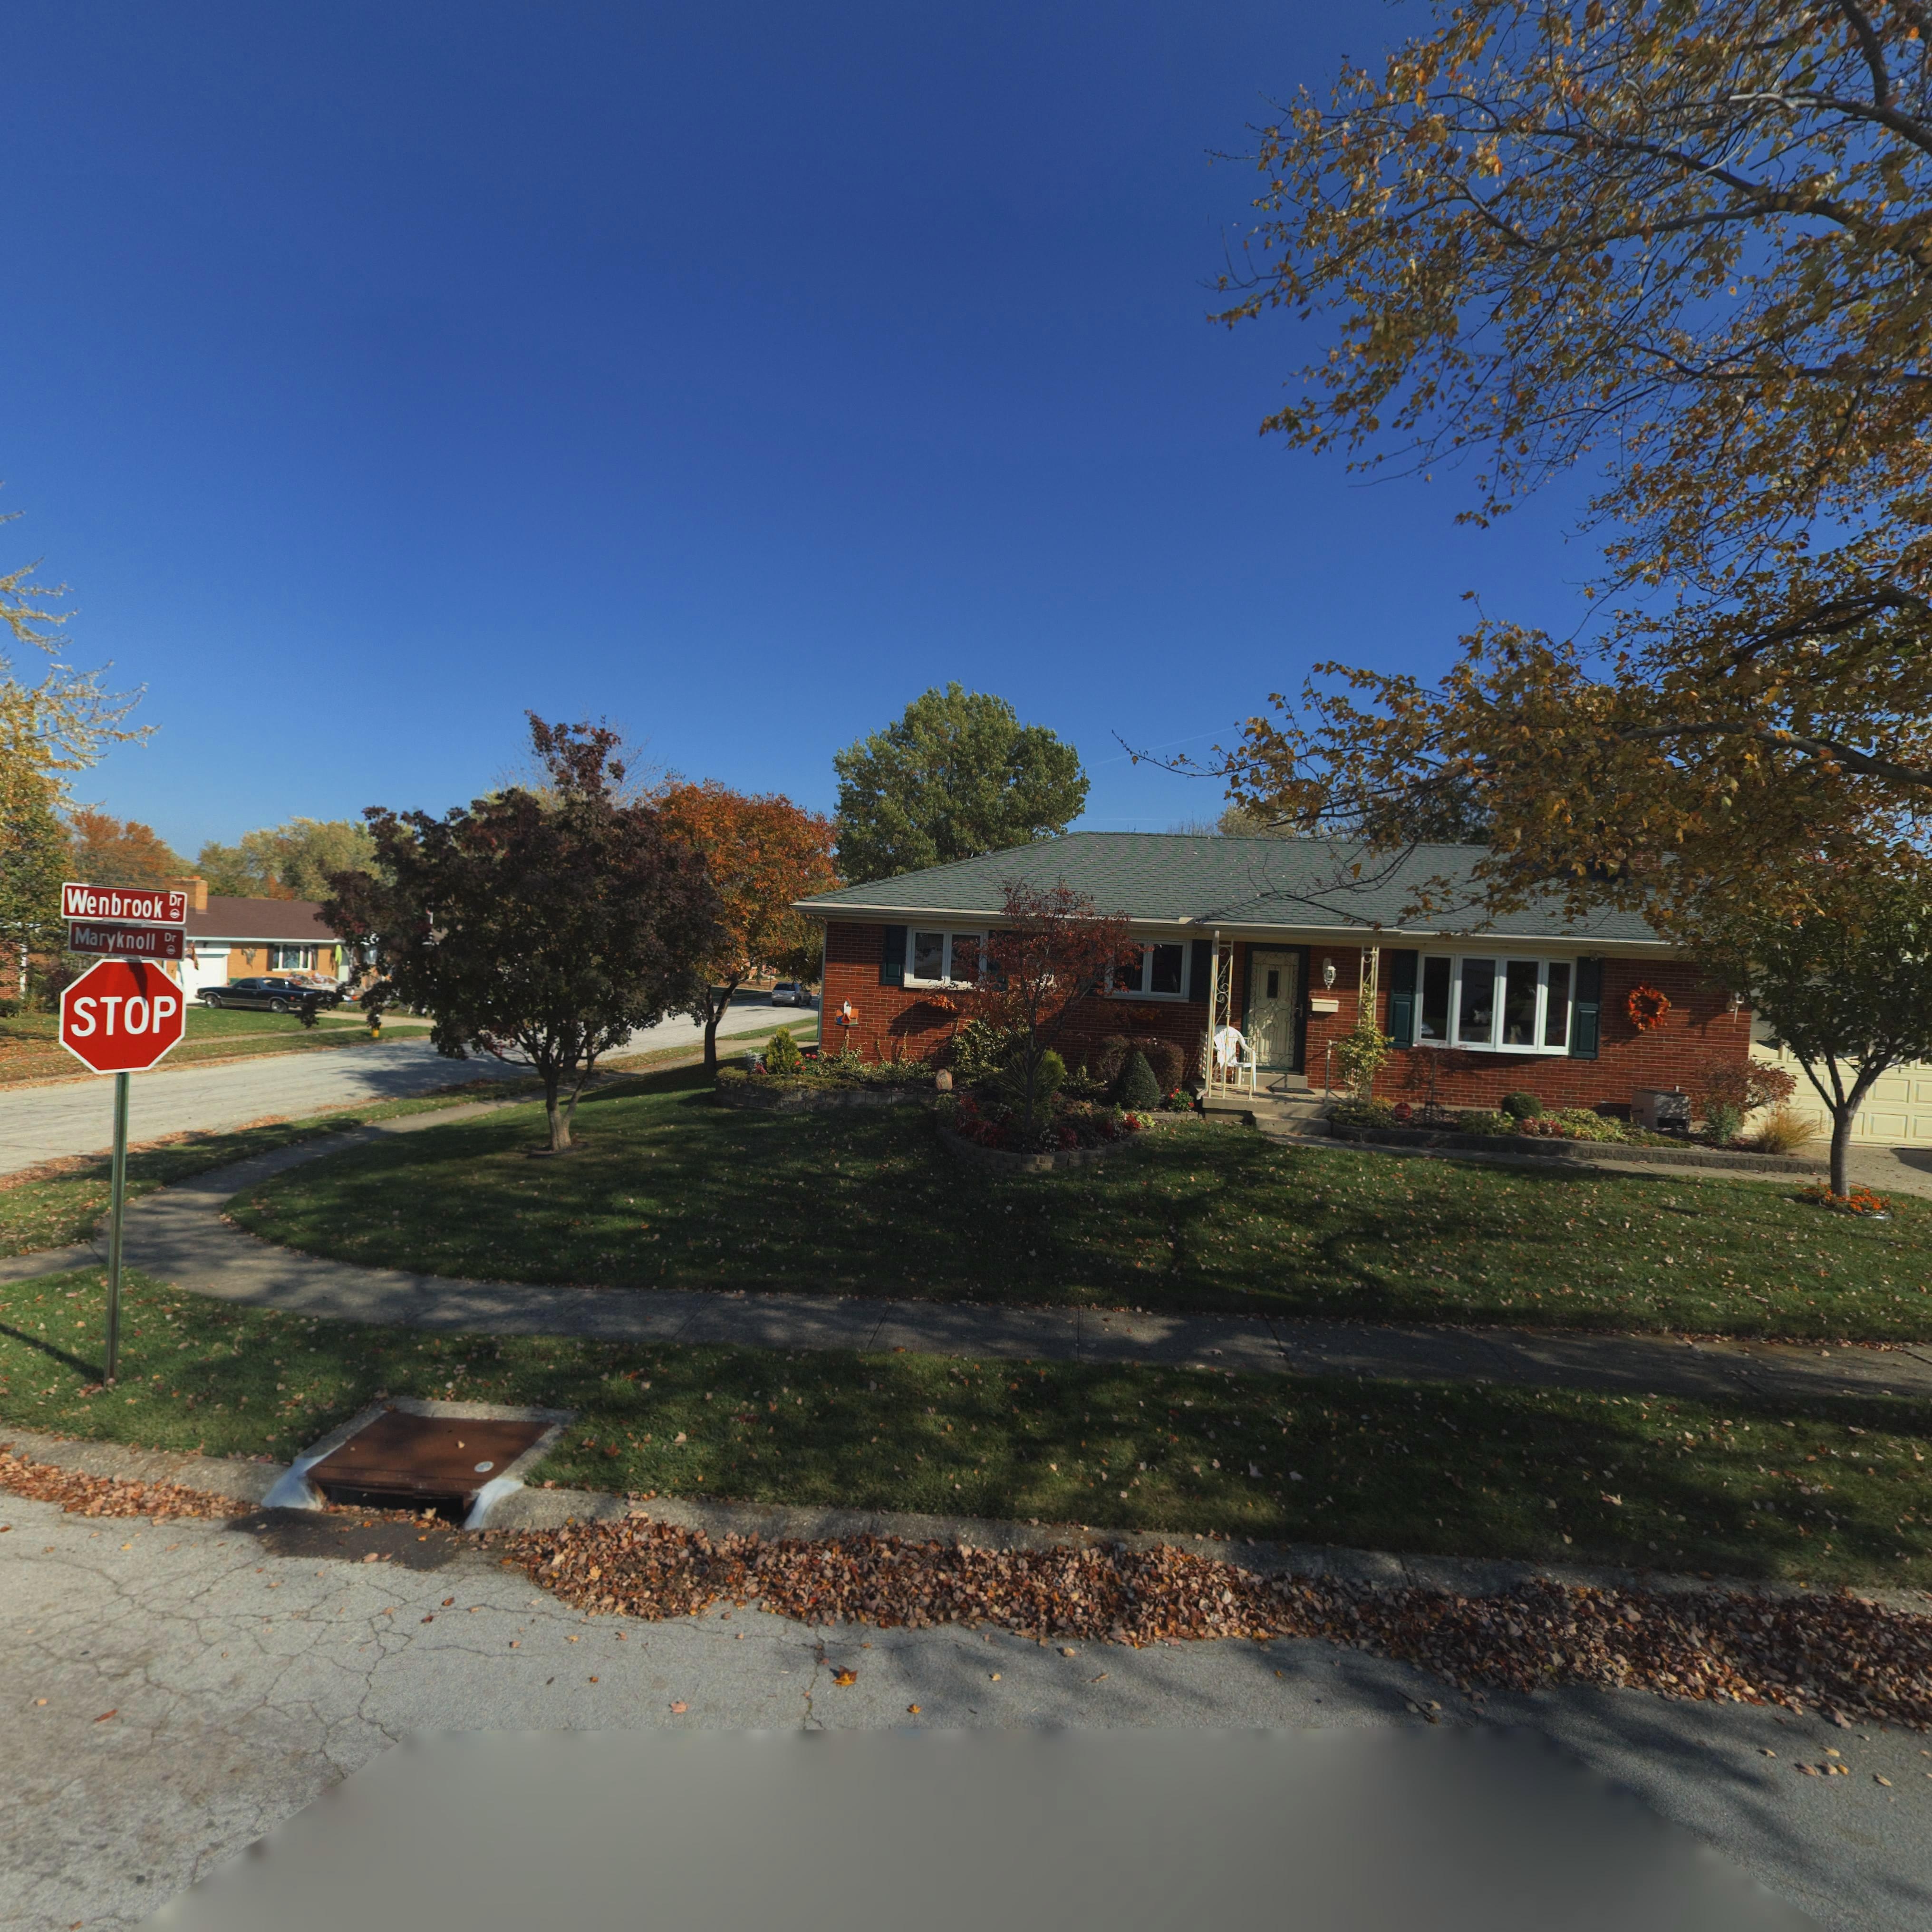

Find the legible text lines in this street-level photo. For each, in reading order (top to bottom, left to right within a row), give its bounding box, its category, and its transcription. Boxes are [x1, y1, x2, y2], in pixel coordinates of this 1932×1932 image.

[66, 888, 183, 918] StreetName: Wenbrook Dr
[74, 926, 178, 952] StreetName: Maryknoll Dr
[68, 994, 177, 1037] None: STOP